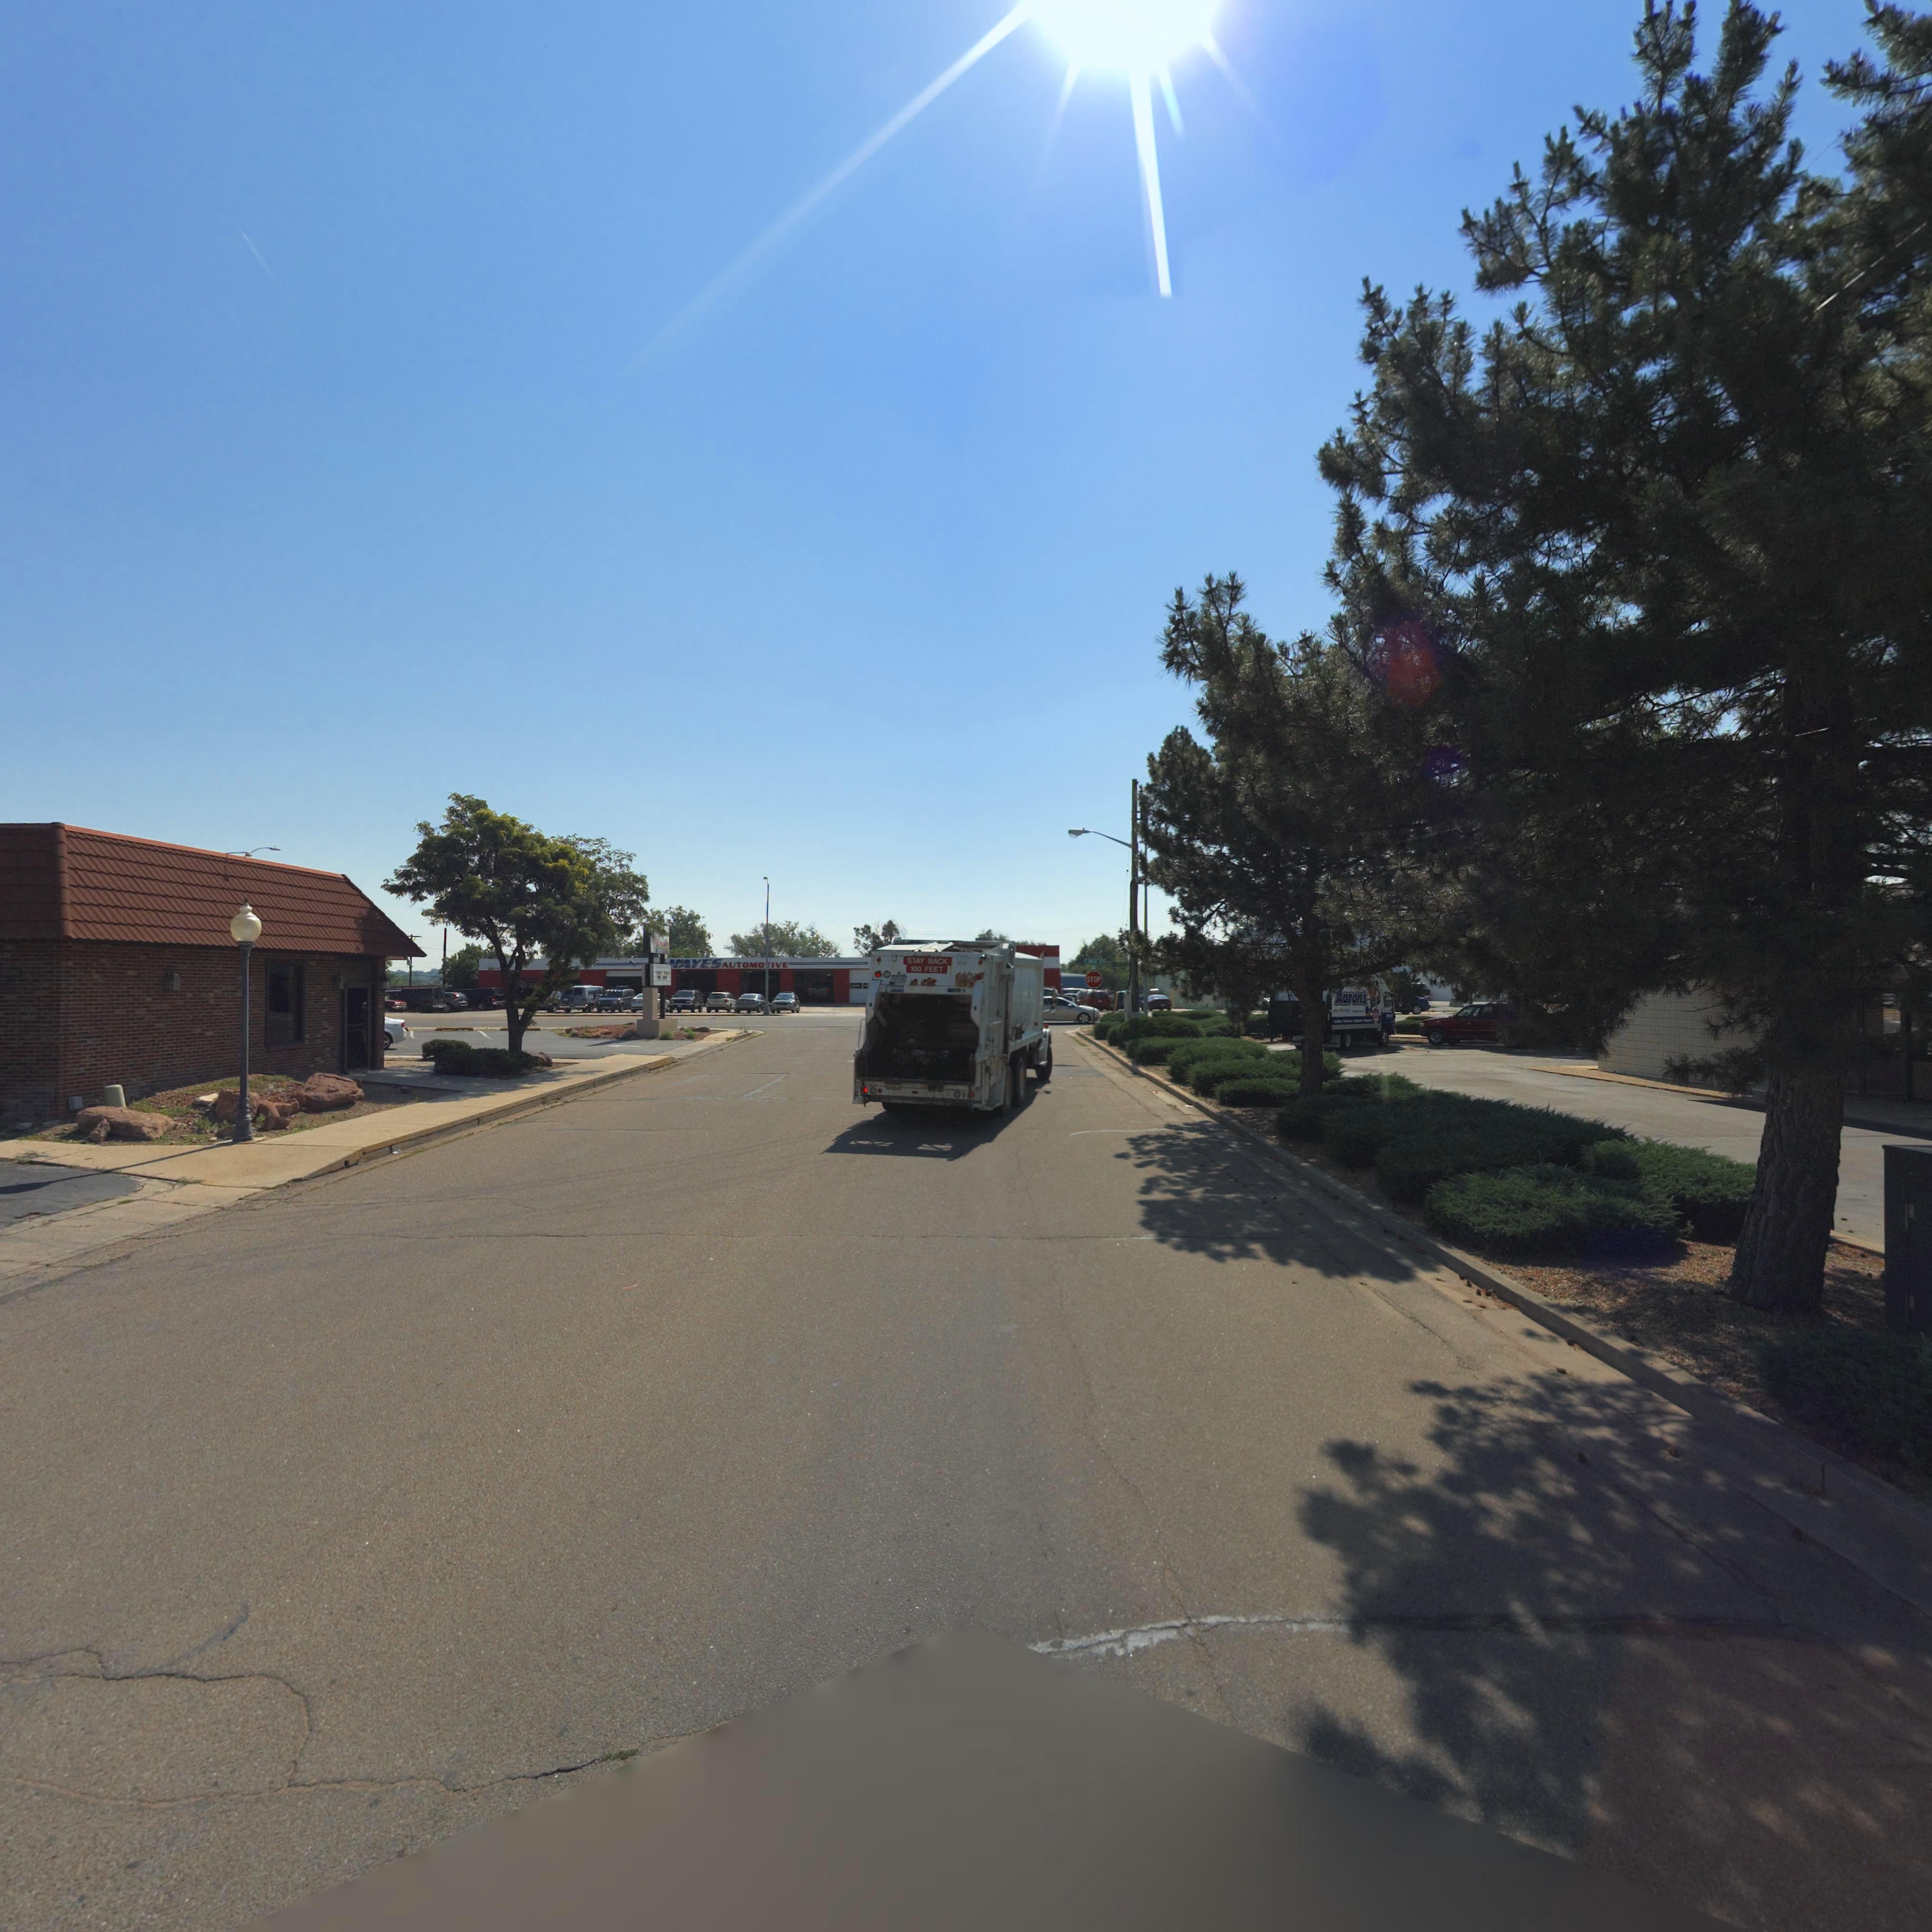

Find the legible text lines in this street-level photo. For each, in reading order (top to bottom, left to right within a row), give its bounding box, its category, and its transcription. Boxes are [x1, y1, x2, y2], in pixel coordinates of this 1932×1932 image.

[667, 958, 788, 968] BusinessName: *AYESAUTOMO*IVE